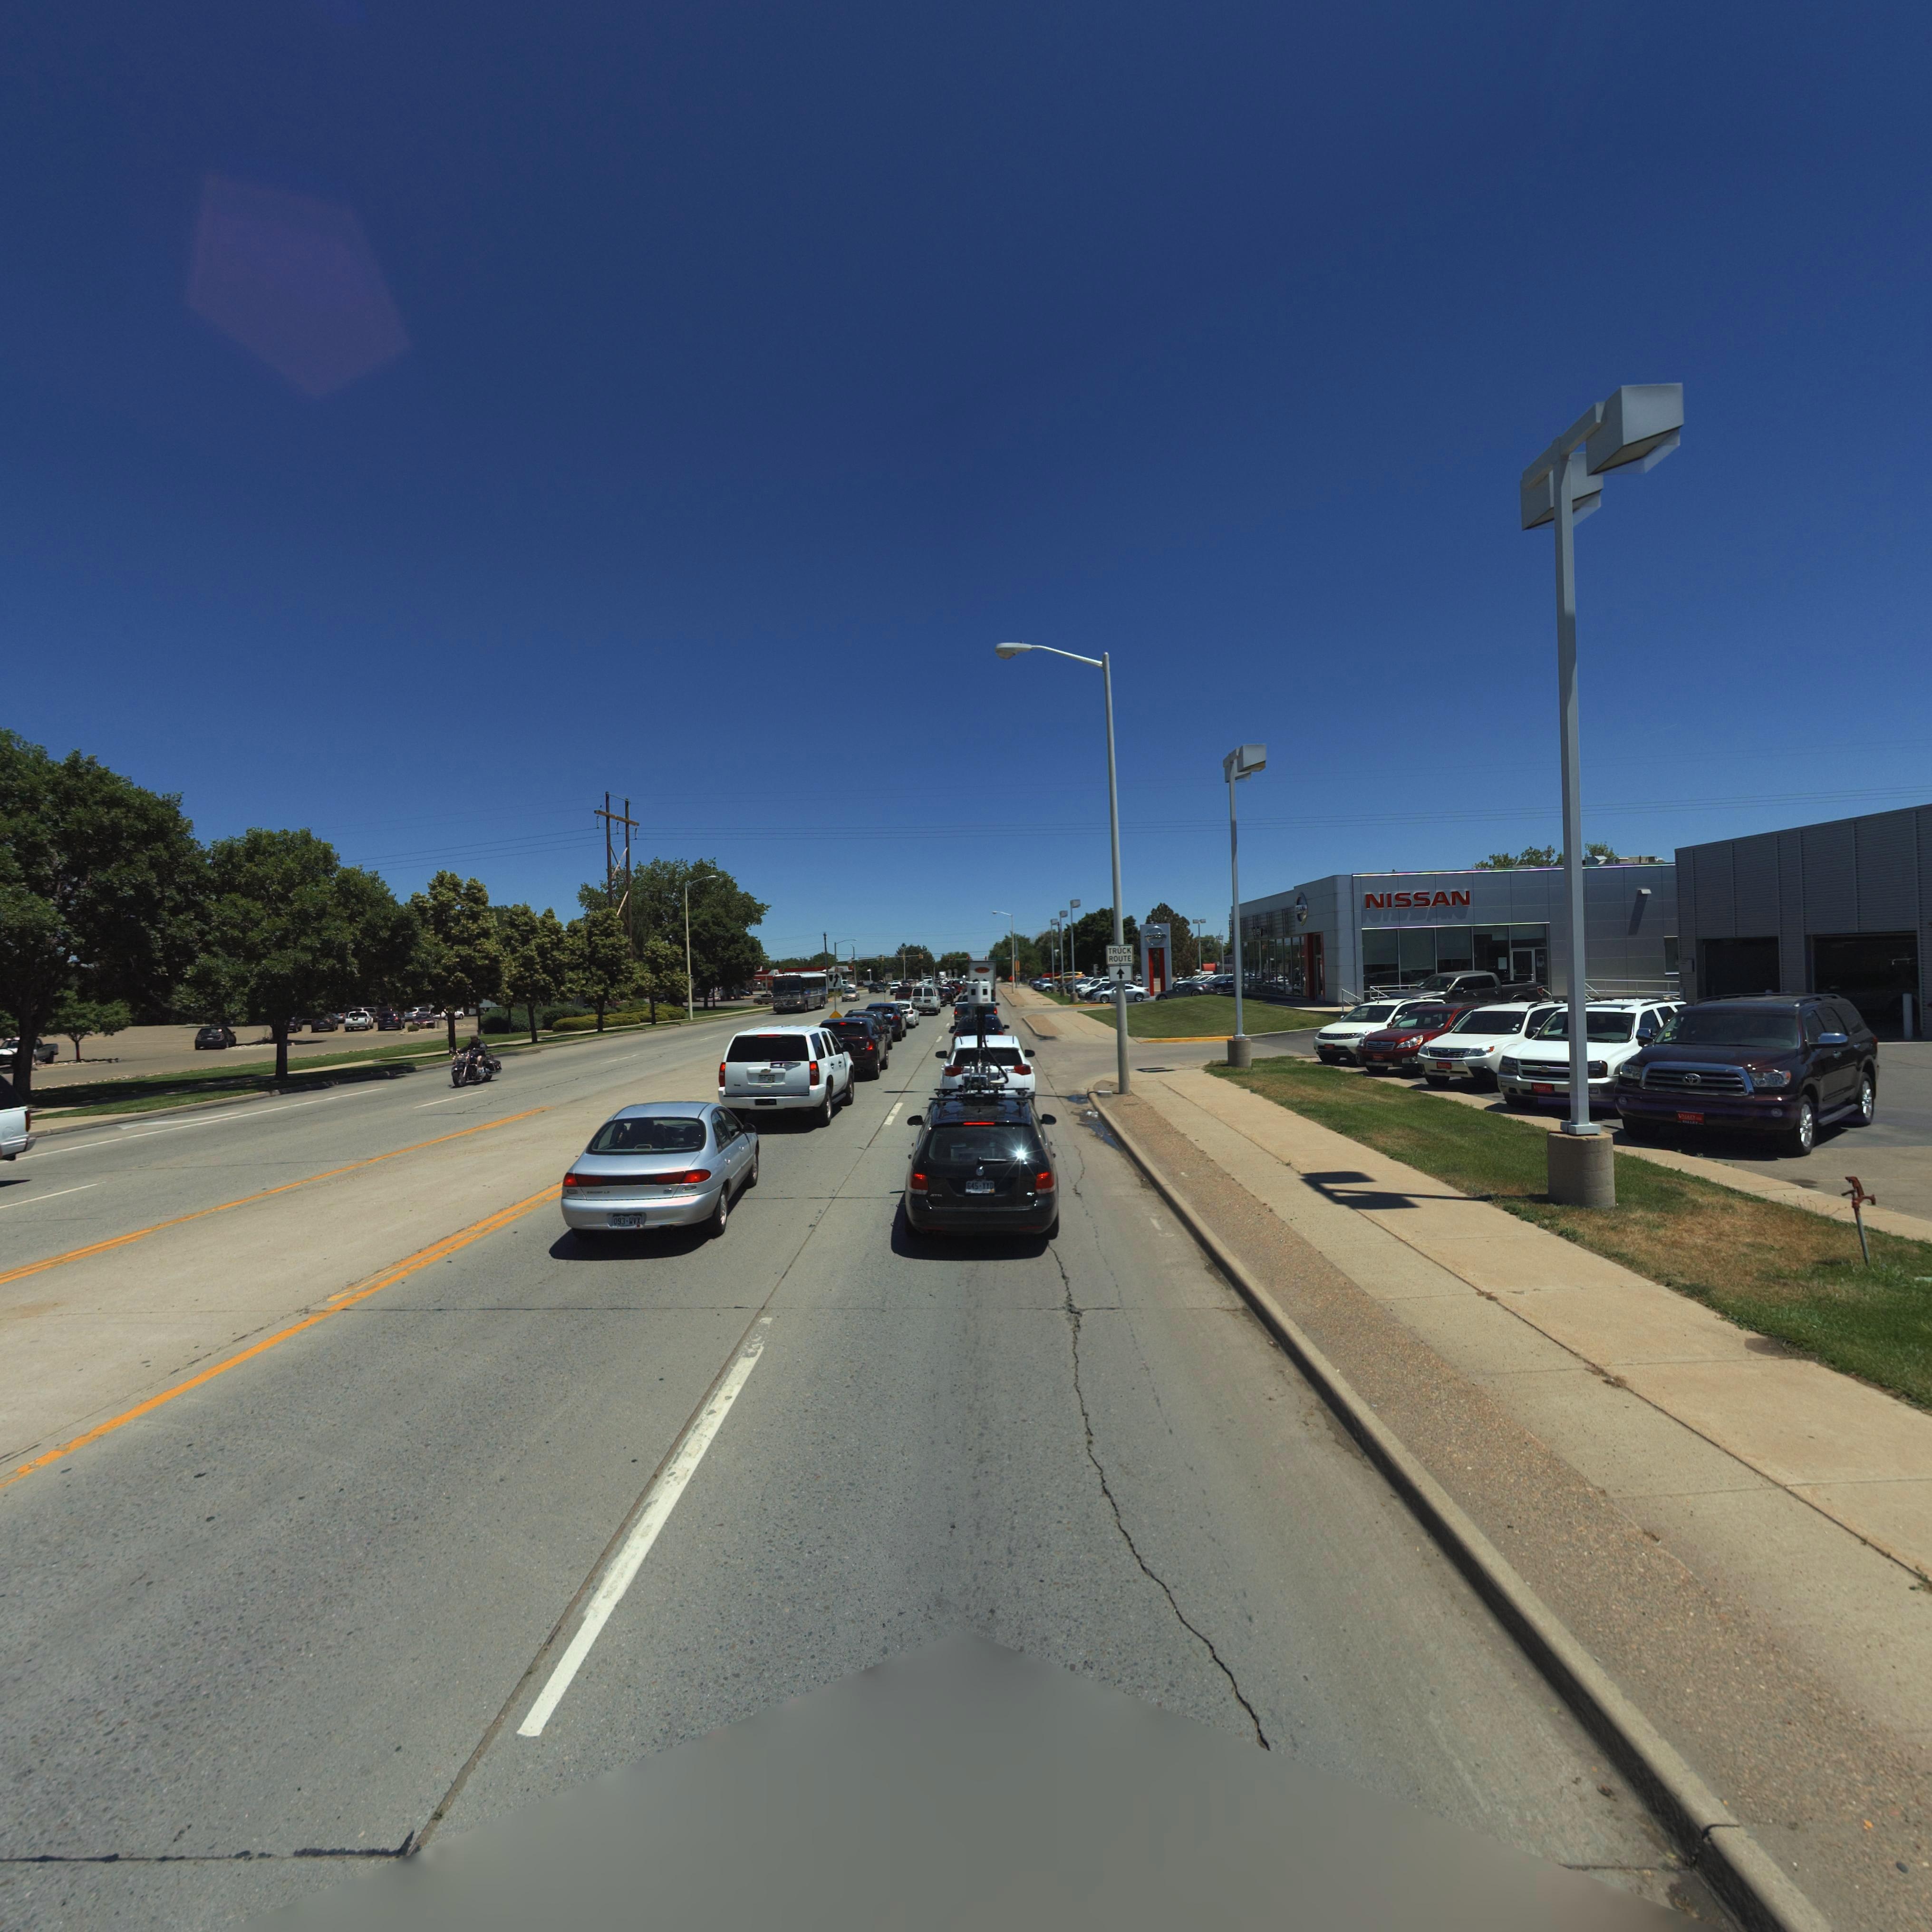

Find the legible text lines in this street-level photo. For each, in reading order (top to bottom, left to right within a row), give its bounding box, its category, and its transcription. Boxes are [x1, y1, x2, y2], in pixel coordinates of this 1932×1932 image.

[1299, 906, 1304, 910] BusinessName: A*
[1364, 889, 1471, 909] BusinessName: NISSAN